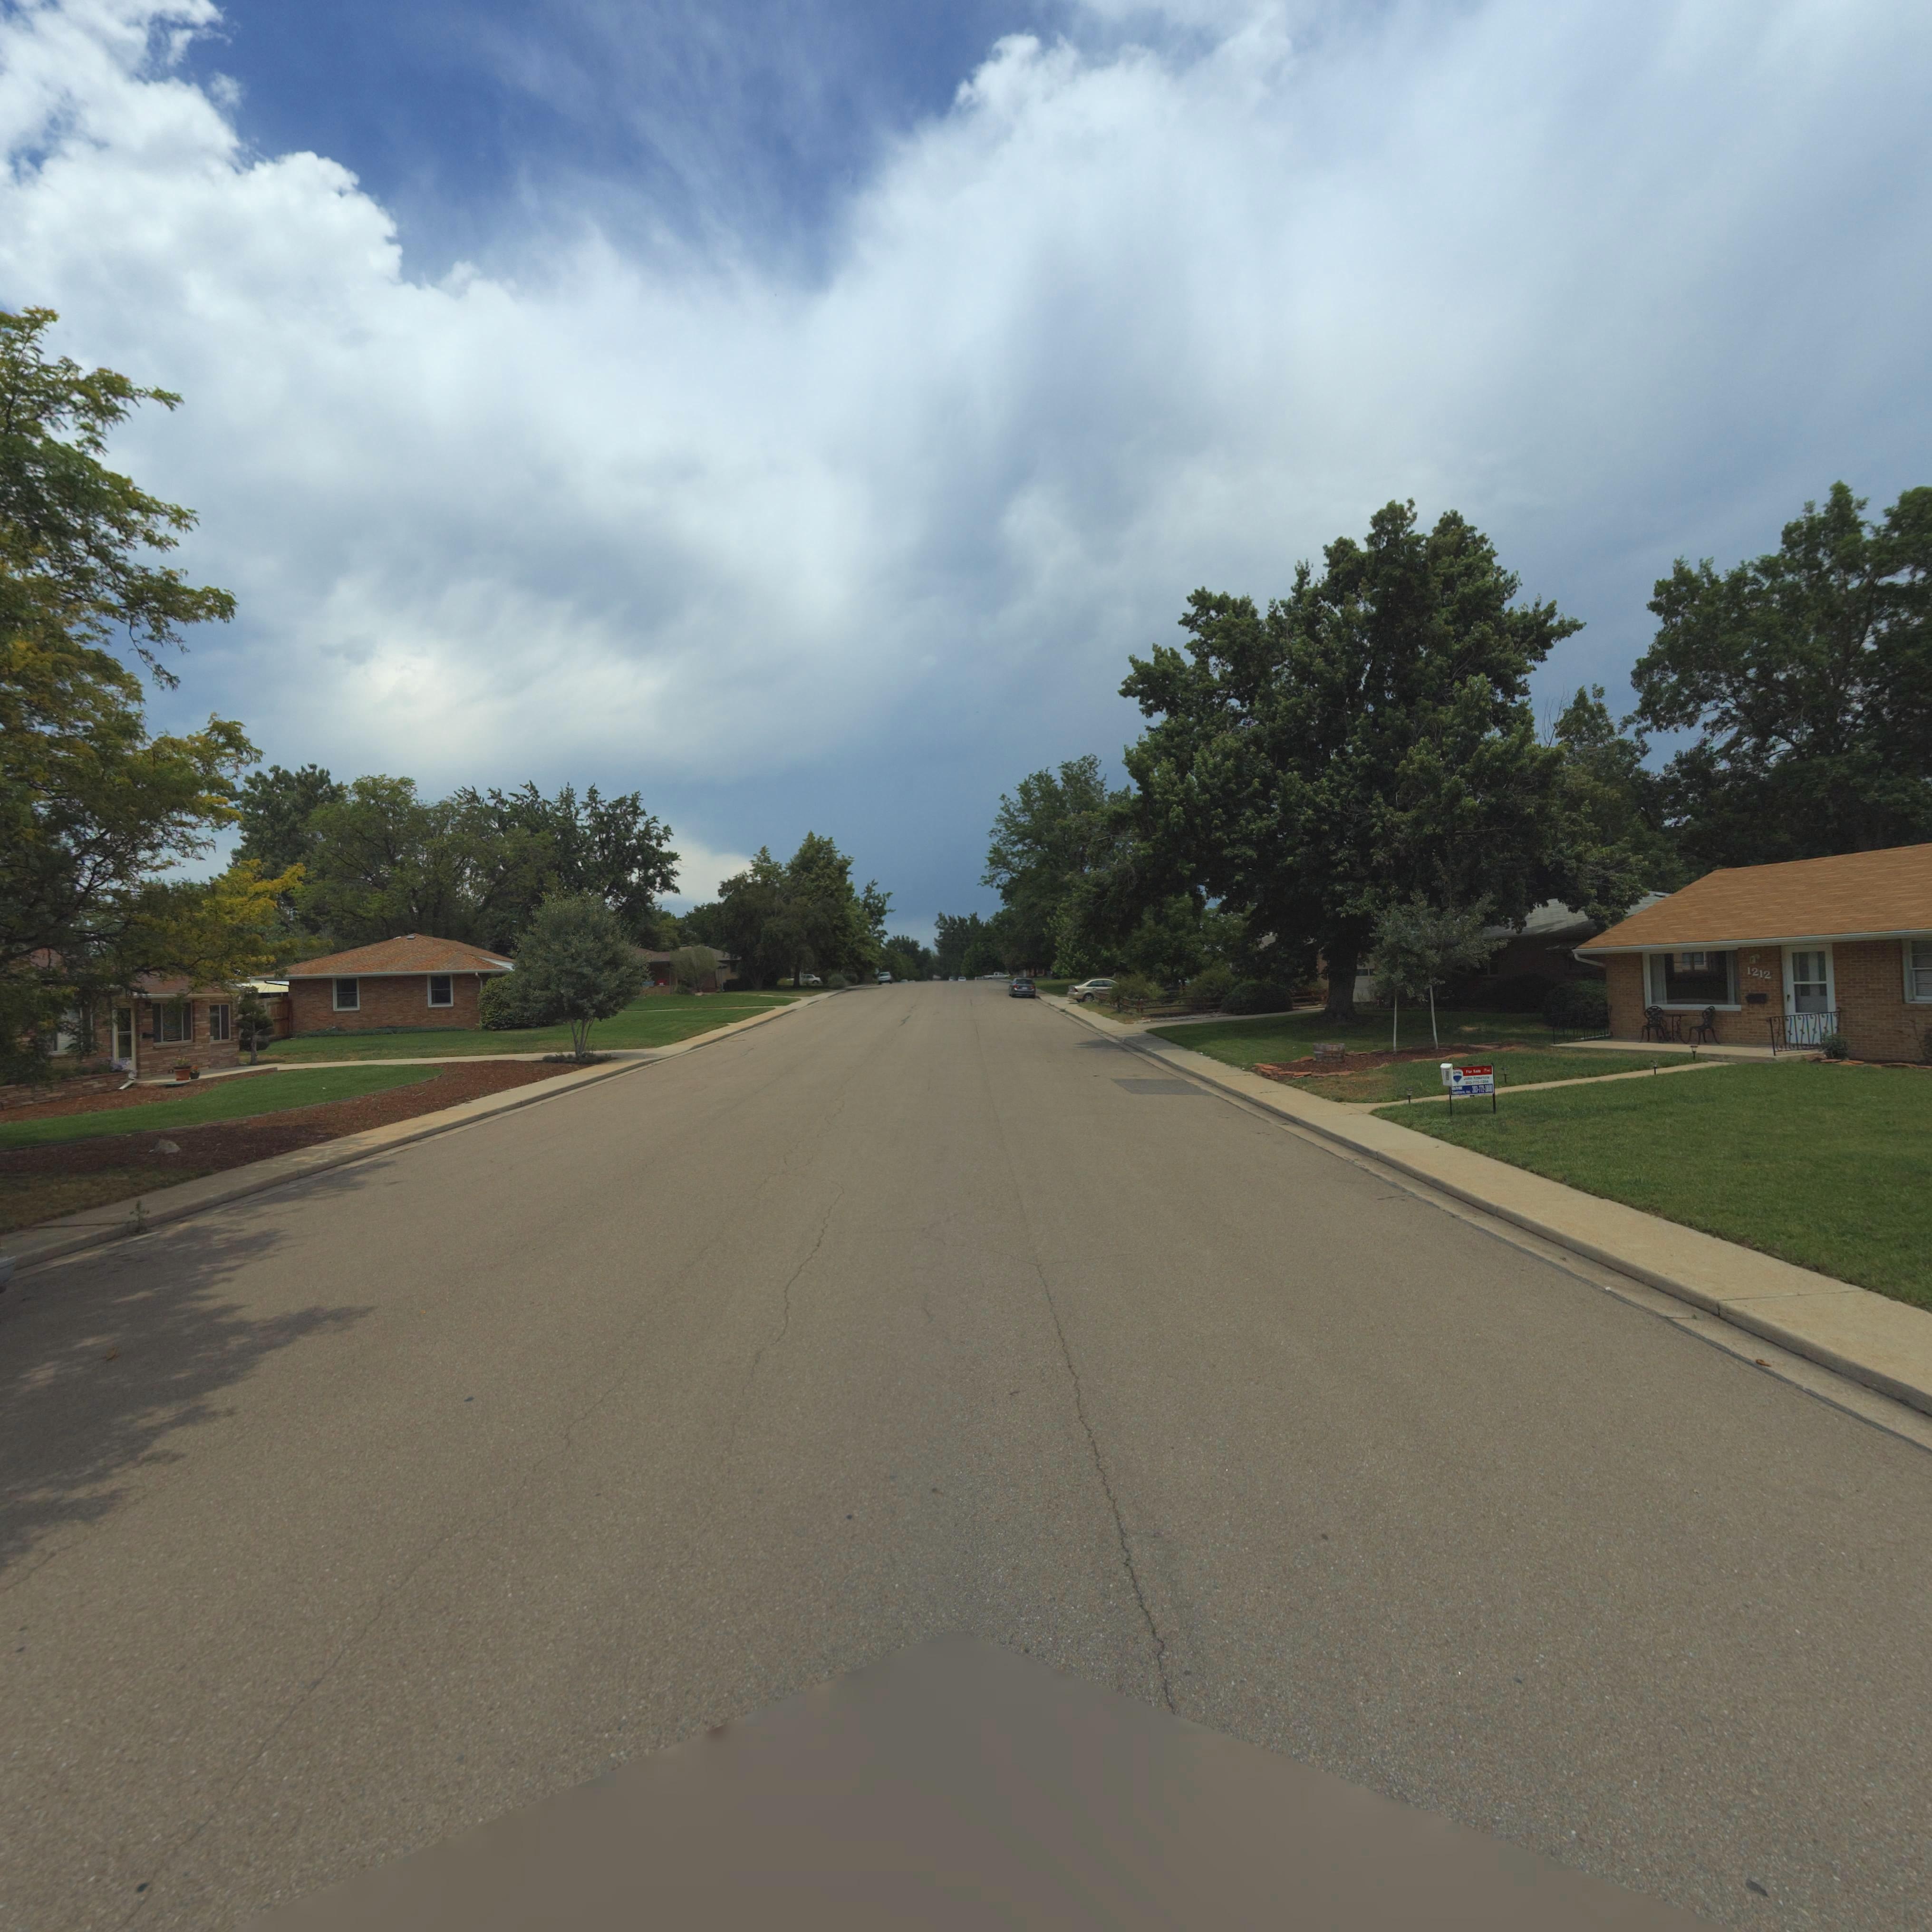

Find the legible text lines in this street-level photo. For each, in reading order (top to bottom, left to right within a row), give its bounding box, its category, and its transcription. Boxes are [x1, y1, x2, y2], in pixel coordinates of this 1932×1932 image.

[1746, 966, 1771, 979] StreetNumber: 1212